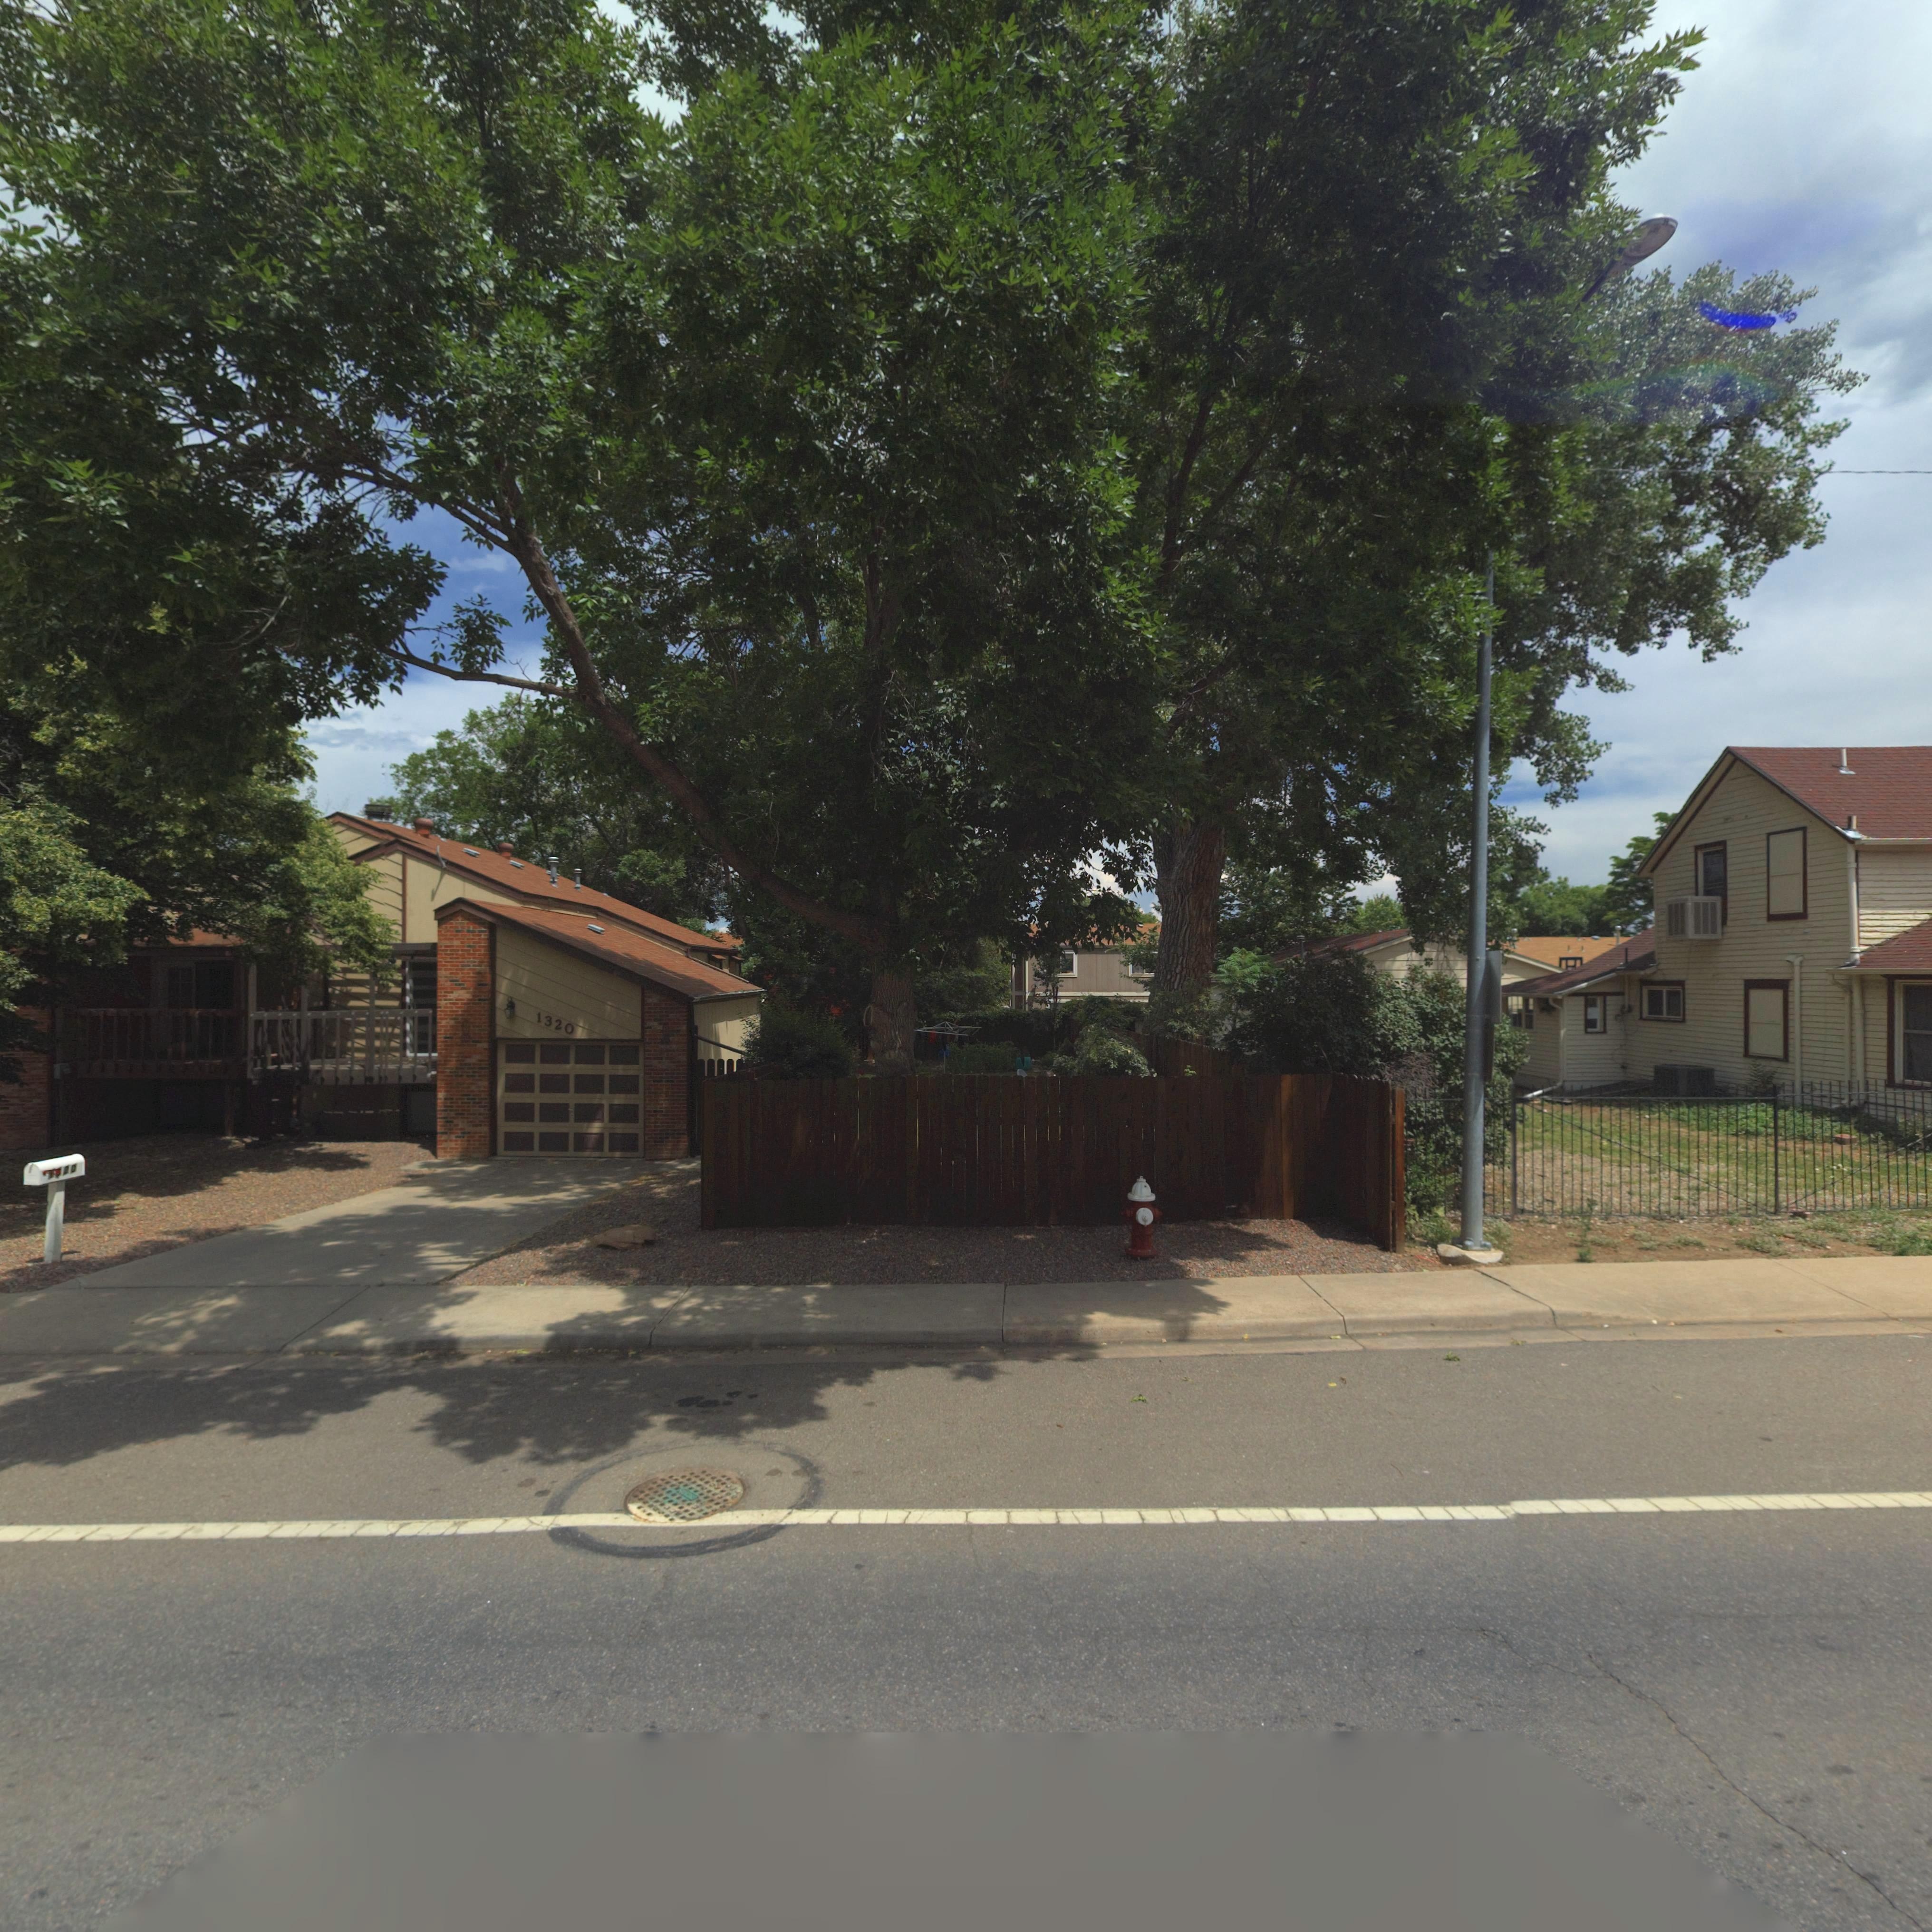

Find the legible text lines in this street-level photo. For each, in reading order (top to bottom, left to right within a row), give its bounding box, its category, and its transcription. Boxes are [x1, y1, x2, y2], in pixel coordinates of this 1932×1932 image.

[536, 1011, 575, 1035] StreetNumber: 1320
[62, 1164, 77, 1176] StreetNumber: 20